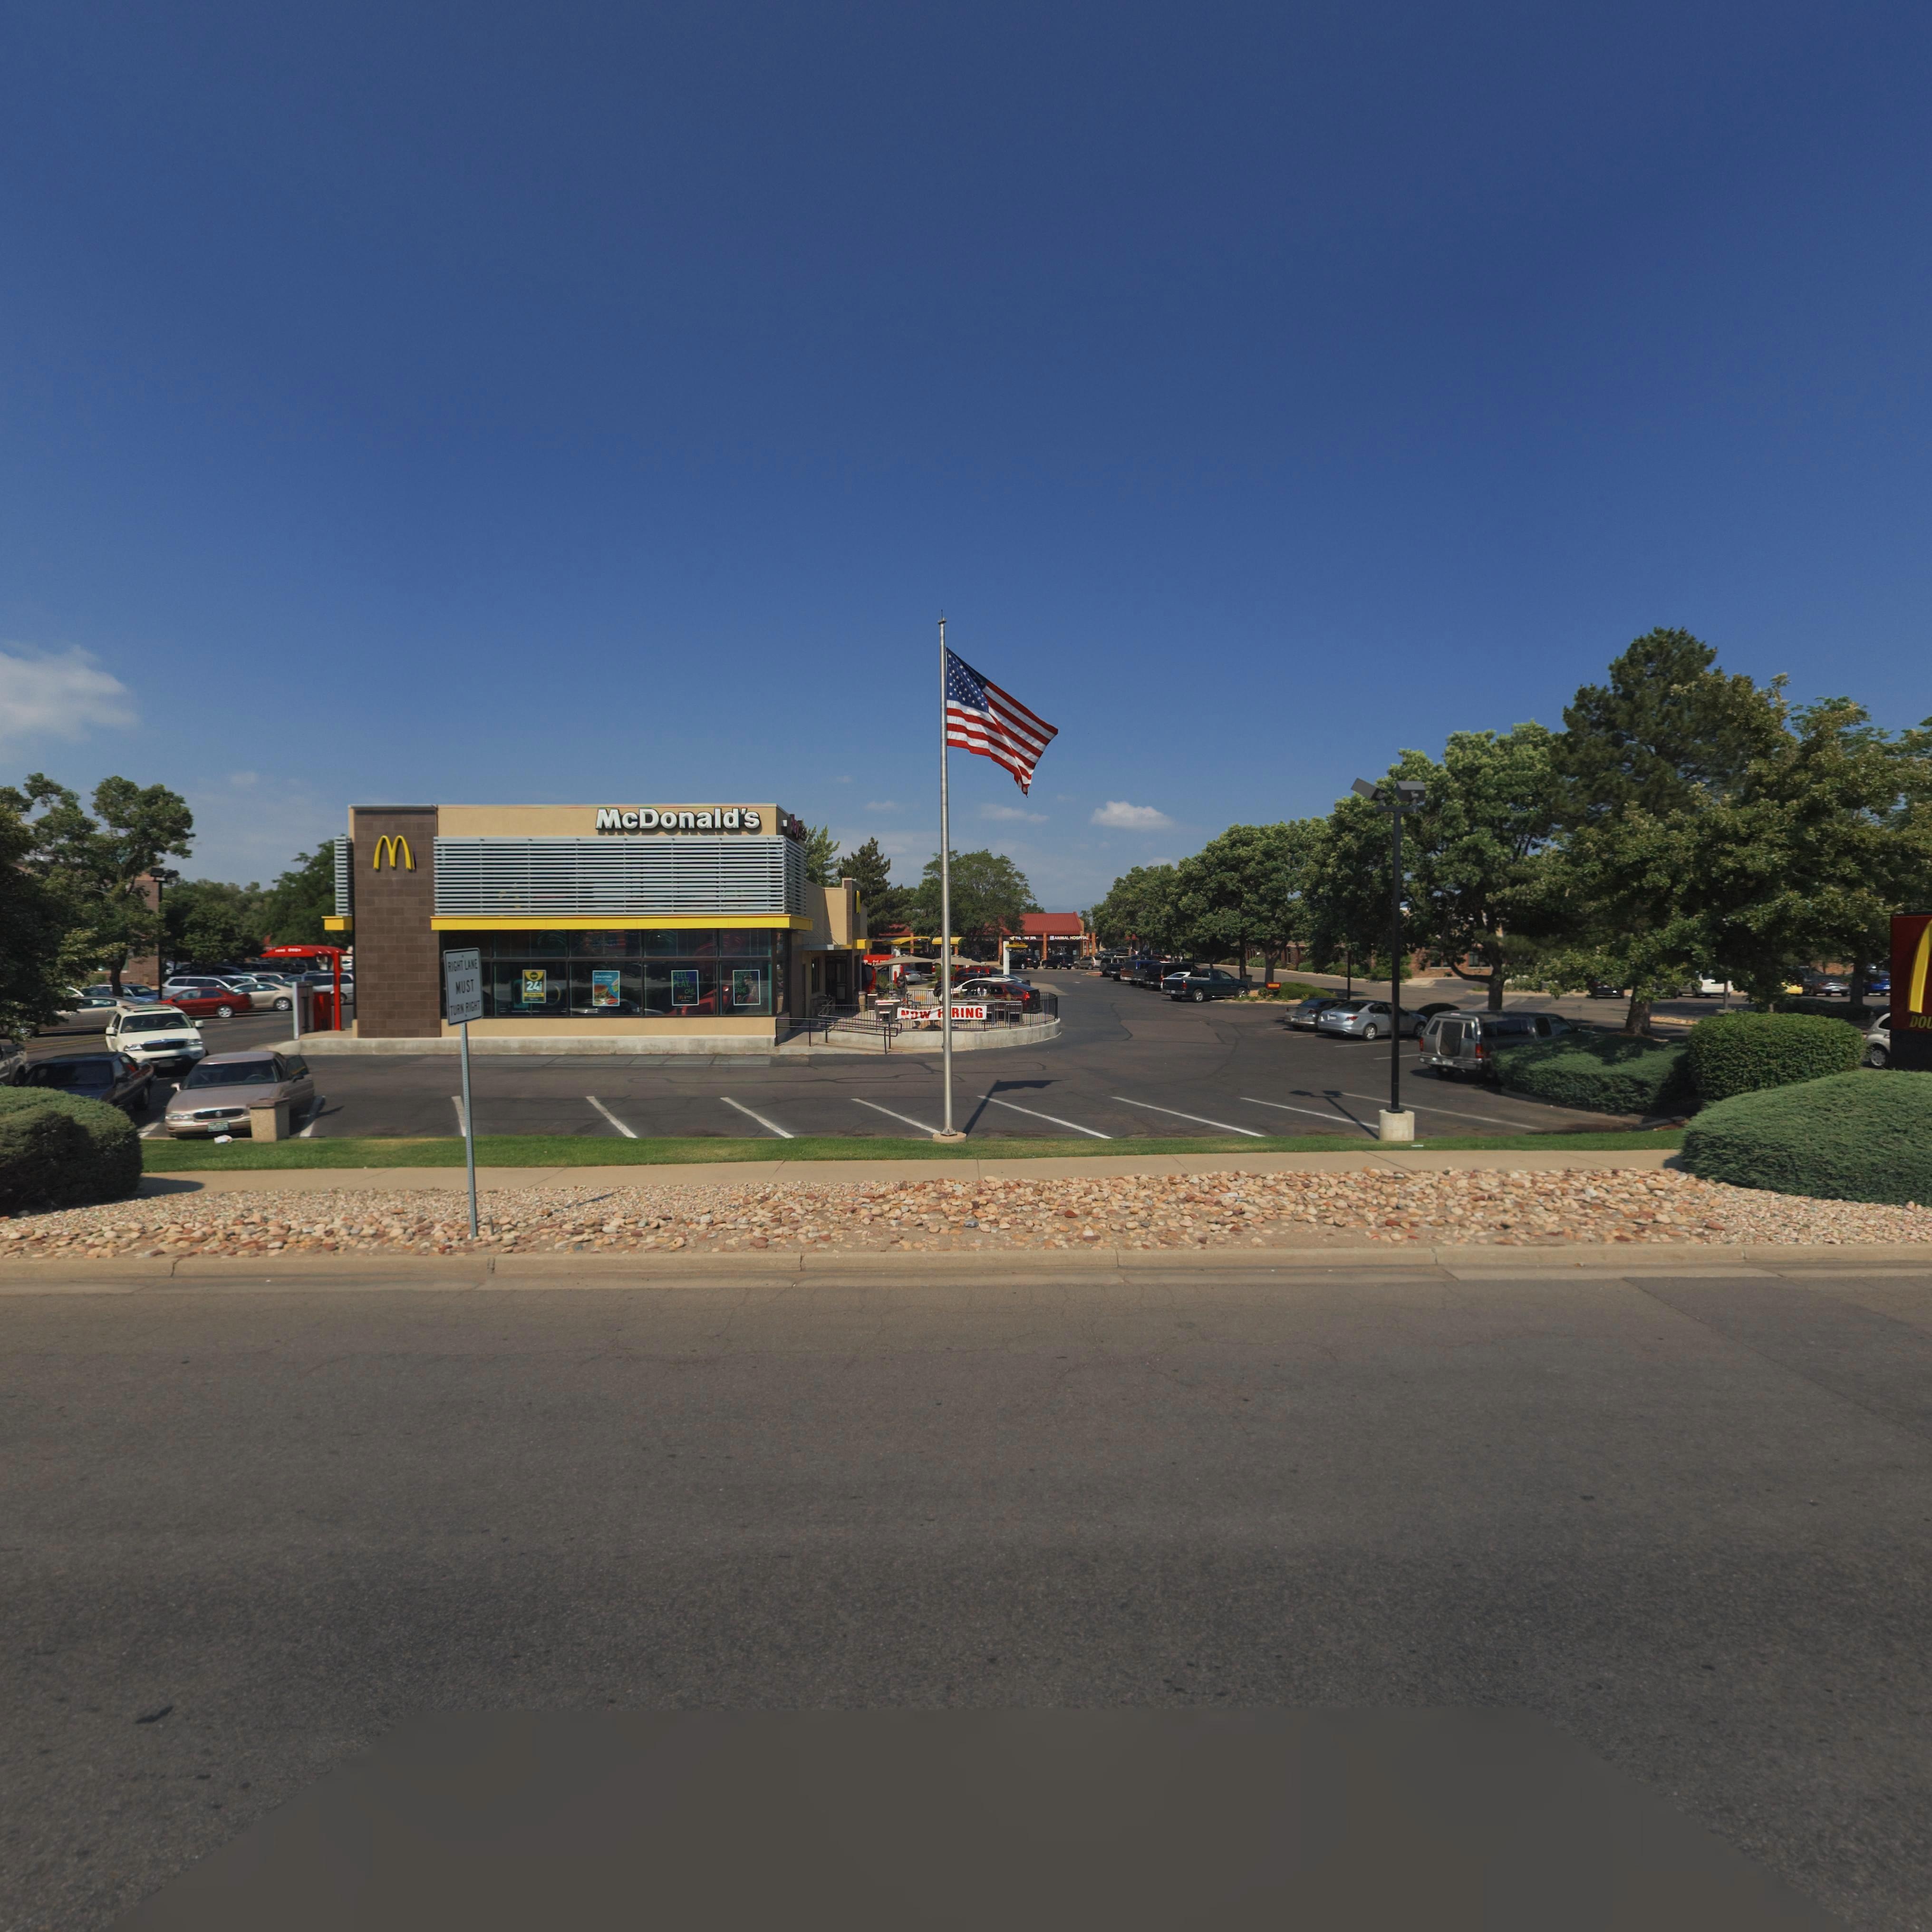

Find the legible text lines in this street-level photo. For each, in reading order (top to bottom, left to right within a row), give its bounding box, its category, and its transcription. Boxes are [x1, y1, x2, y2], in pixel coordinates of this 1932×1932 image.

[594, 807, 760, 829] BusinessName: McDonald's
[1014, 936, 1036, 940] BusinessName: TH* *AW SPA
[1054, 935, 1089, 940] BusinessName: ANIMAL HOSPITAL